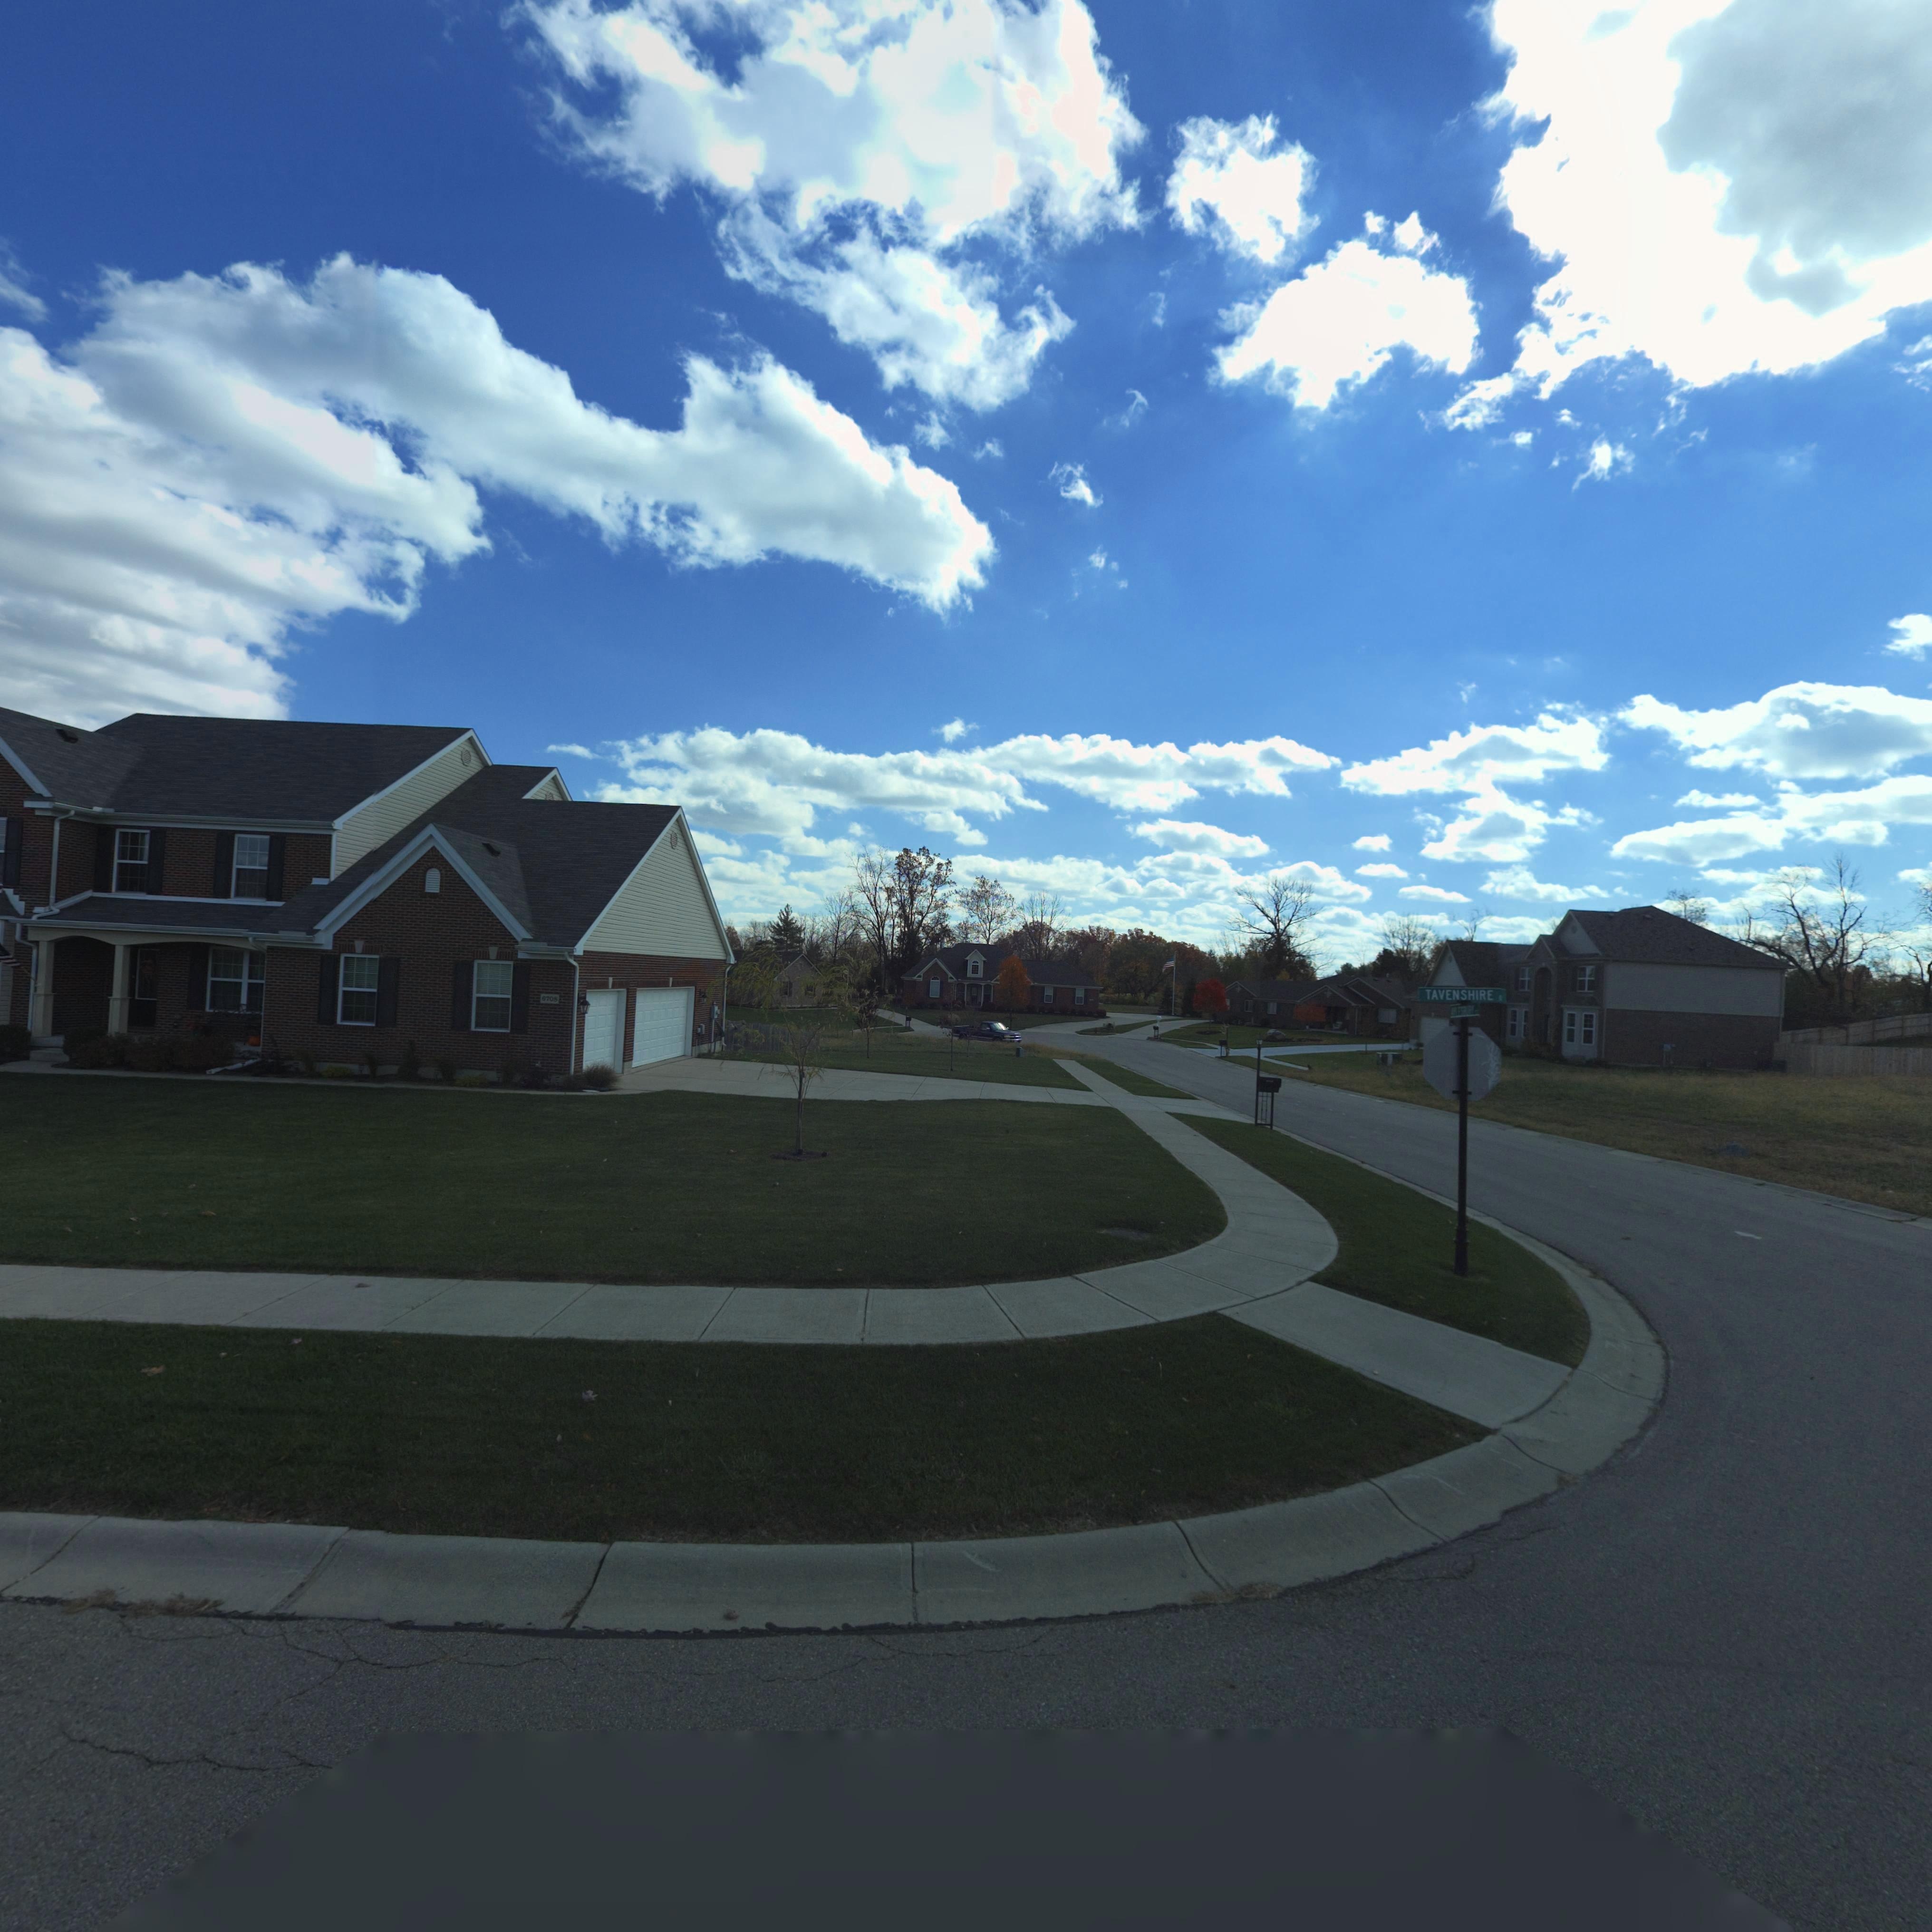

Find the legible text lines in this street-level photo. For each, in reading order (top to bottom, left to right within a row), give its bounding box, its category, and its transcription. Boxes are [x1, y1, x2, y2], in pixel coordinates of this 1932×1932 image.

[541, 995, 558, 1002] StreetNumber: 6708
[1424, 989, 1494, 1001] StreetName: TAVENSHIRE